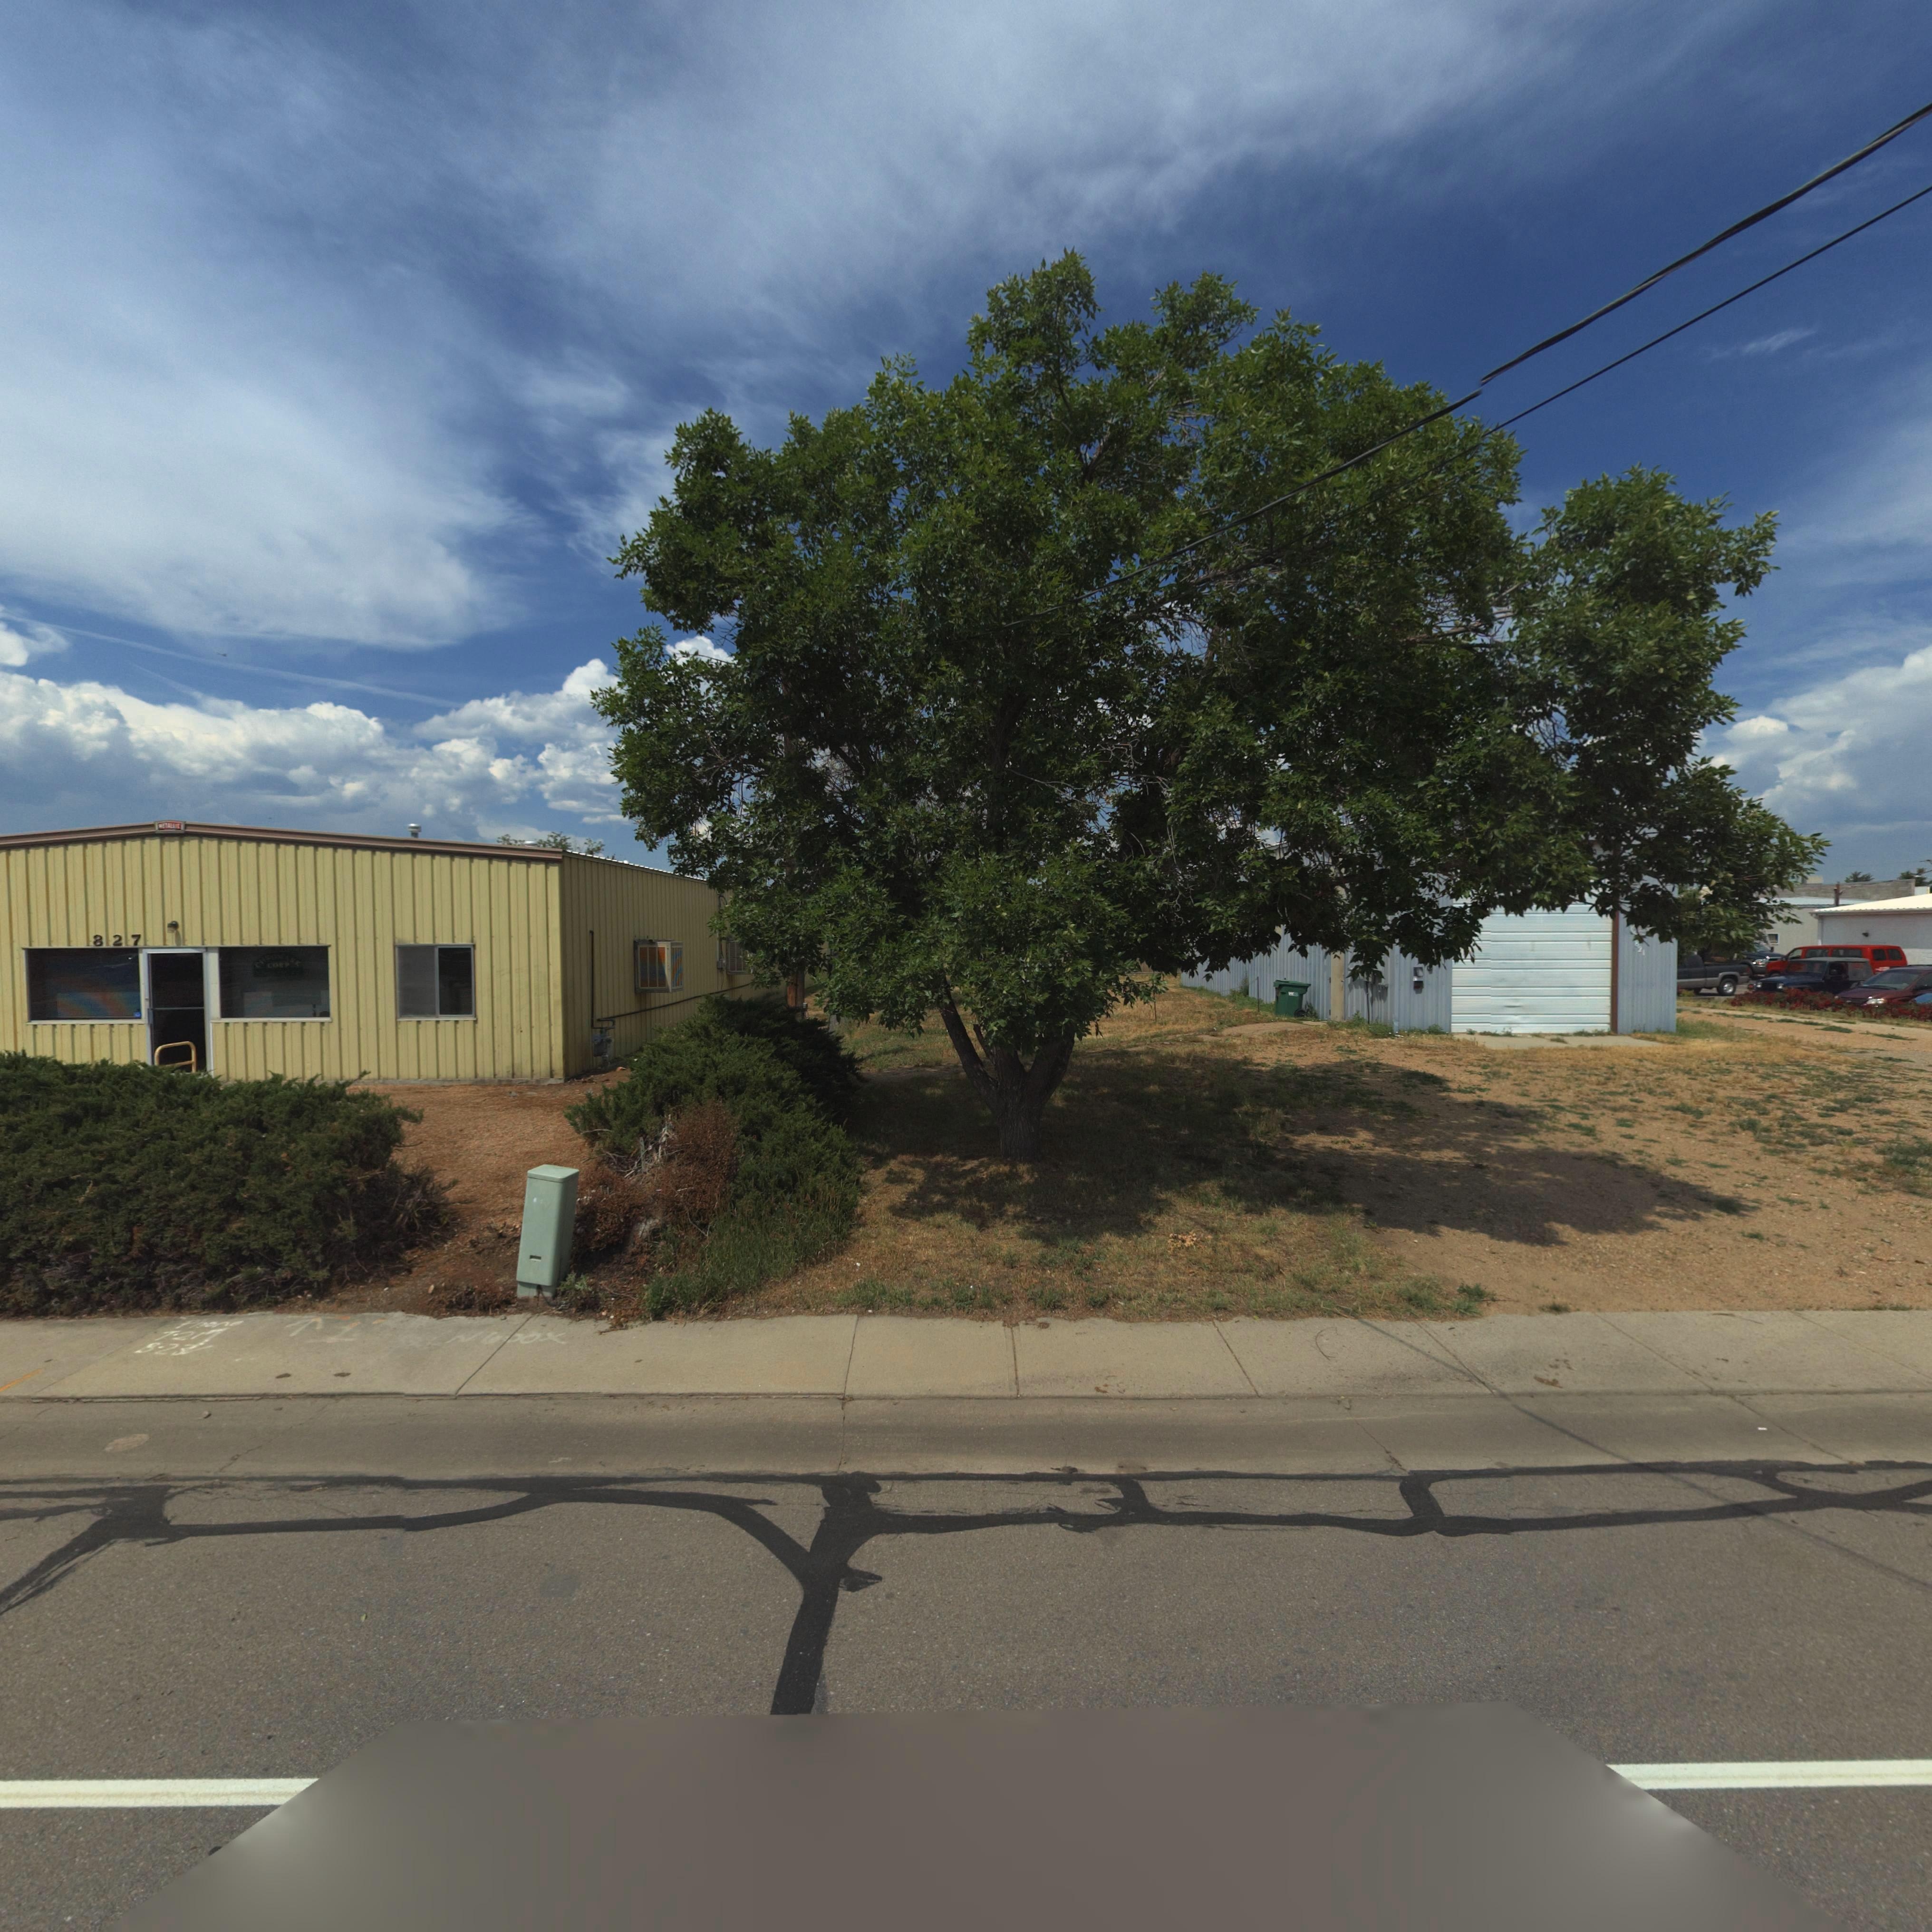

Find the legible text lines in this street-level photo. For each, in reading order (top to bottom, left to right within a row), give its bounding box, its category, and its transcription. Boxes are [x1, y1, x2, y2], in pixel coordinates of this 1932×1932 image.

[93, 933, 141, 947] StreetNumber: 827
[1633, 939, 1645, 956] StreetNumber: 821
[252, 953, 302, 968] BusinessName: CHROMARK
[267, 962, 290, 968] BusinessName: CORP